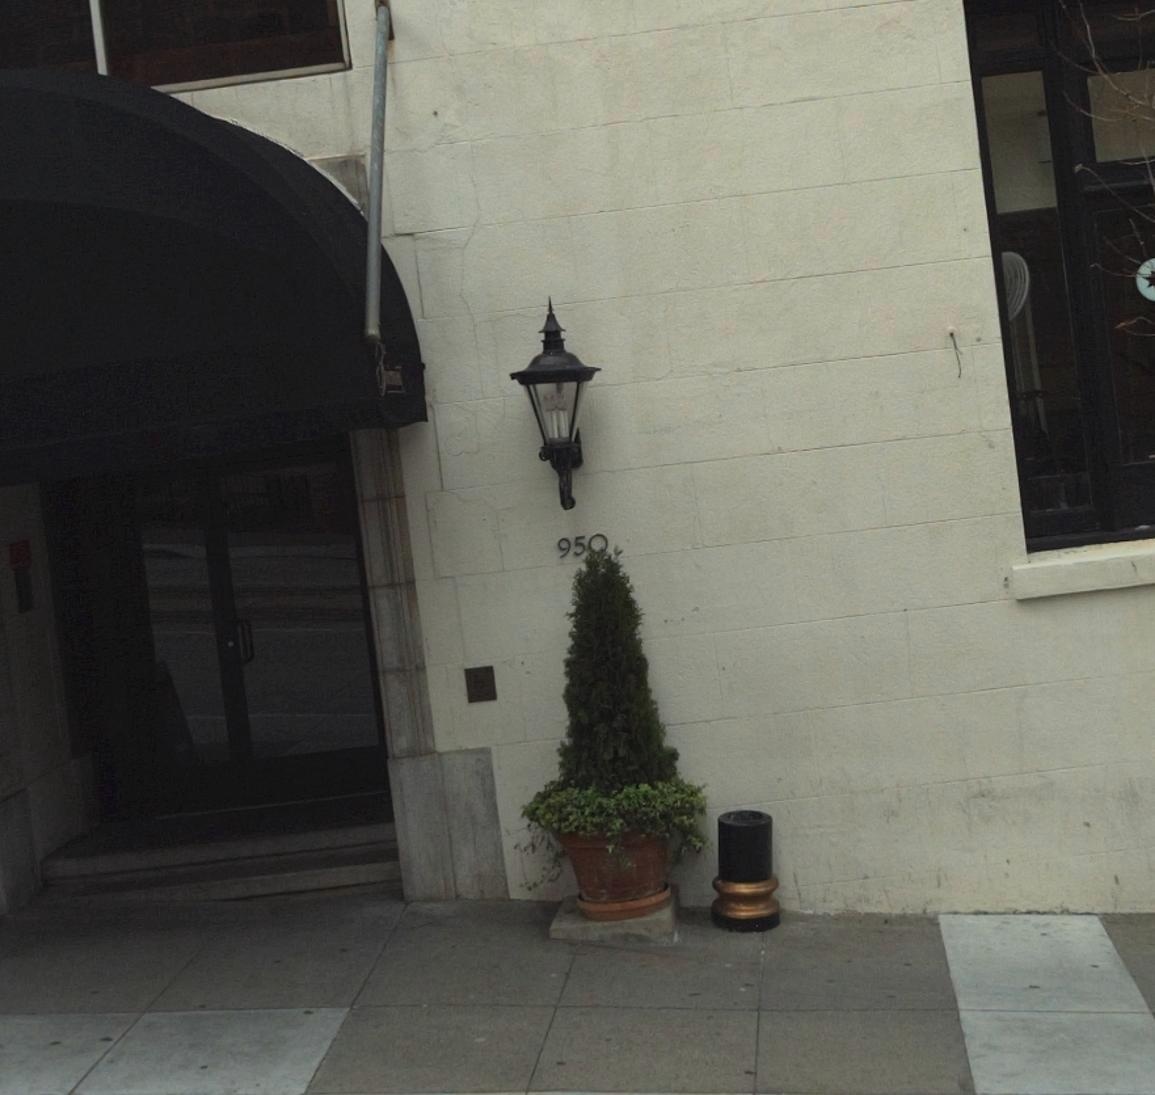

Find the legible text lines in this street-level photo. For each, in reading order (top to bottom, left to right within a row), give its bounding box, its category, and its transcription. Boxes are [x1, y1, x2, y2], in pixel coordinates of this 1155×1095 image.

[556, 532, 611, 560] StreetNumber: 950